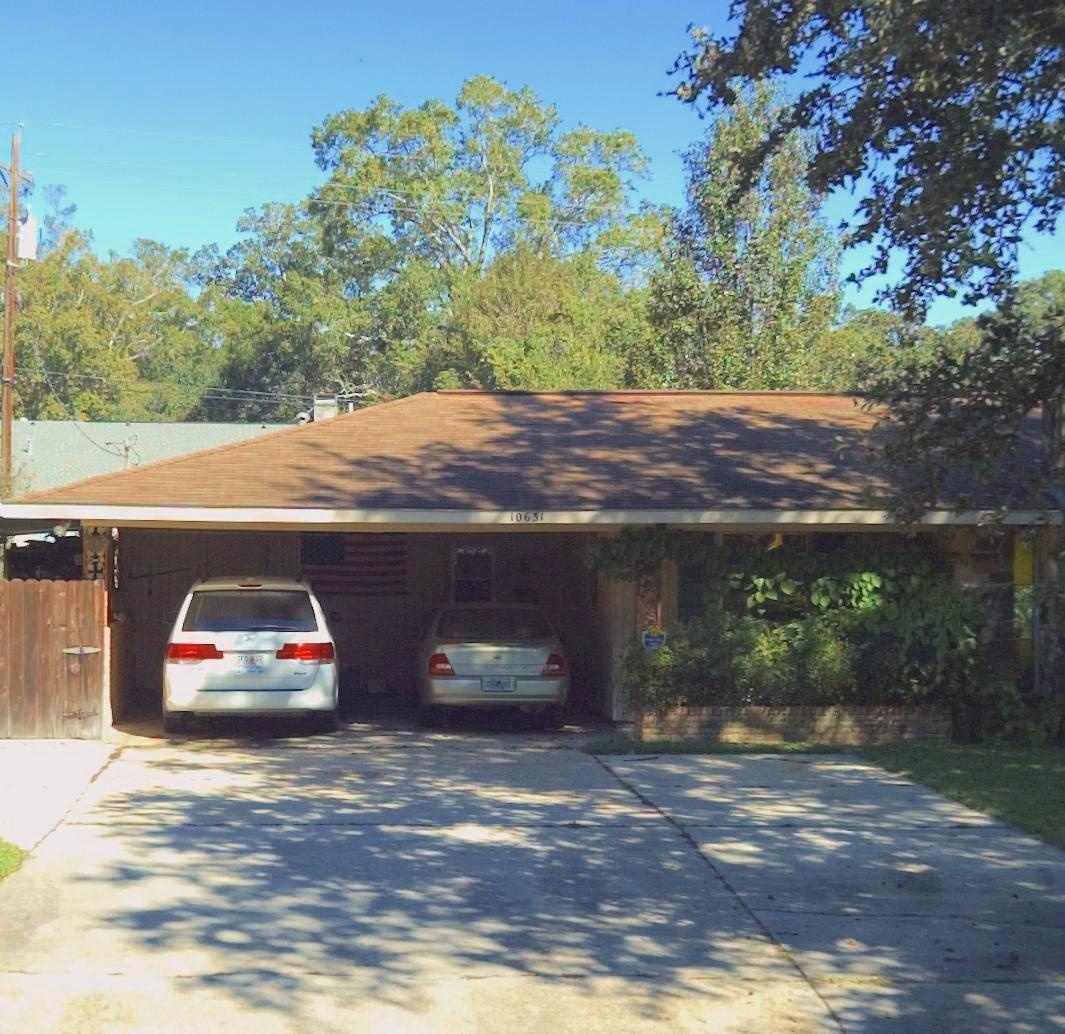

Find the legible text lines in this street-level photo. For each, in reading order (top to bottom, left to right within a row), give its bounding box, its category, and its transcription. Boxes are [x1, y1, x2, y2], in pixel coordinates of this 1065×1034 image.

[509, 510, 545, 524] StreetNumber: 10631